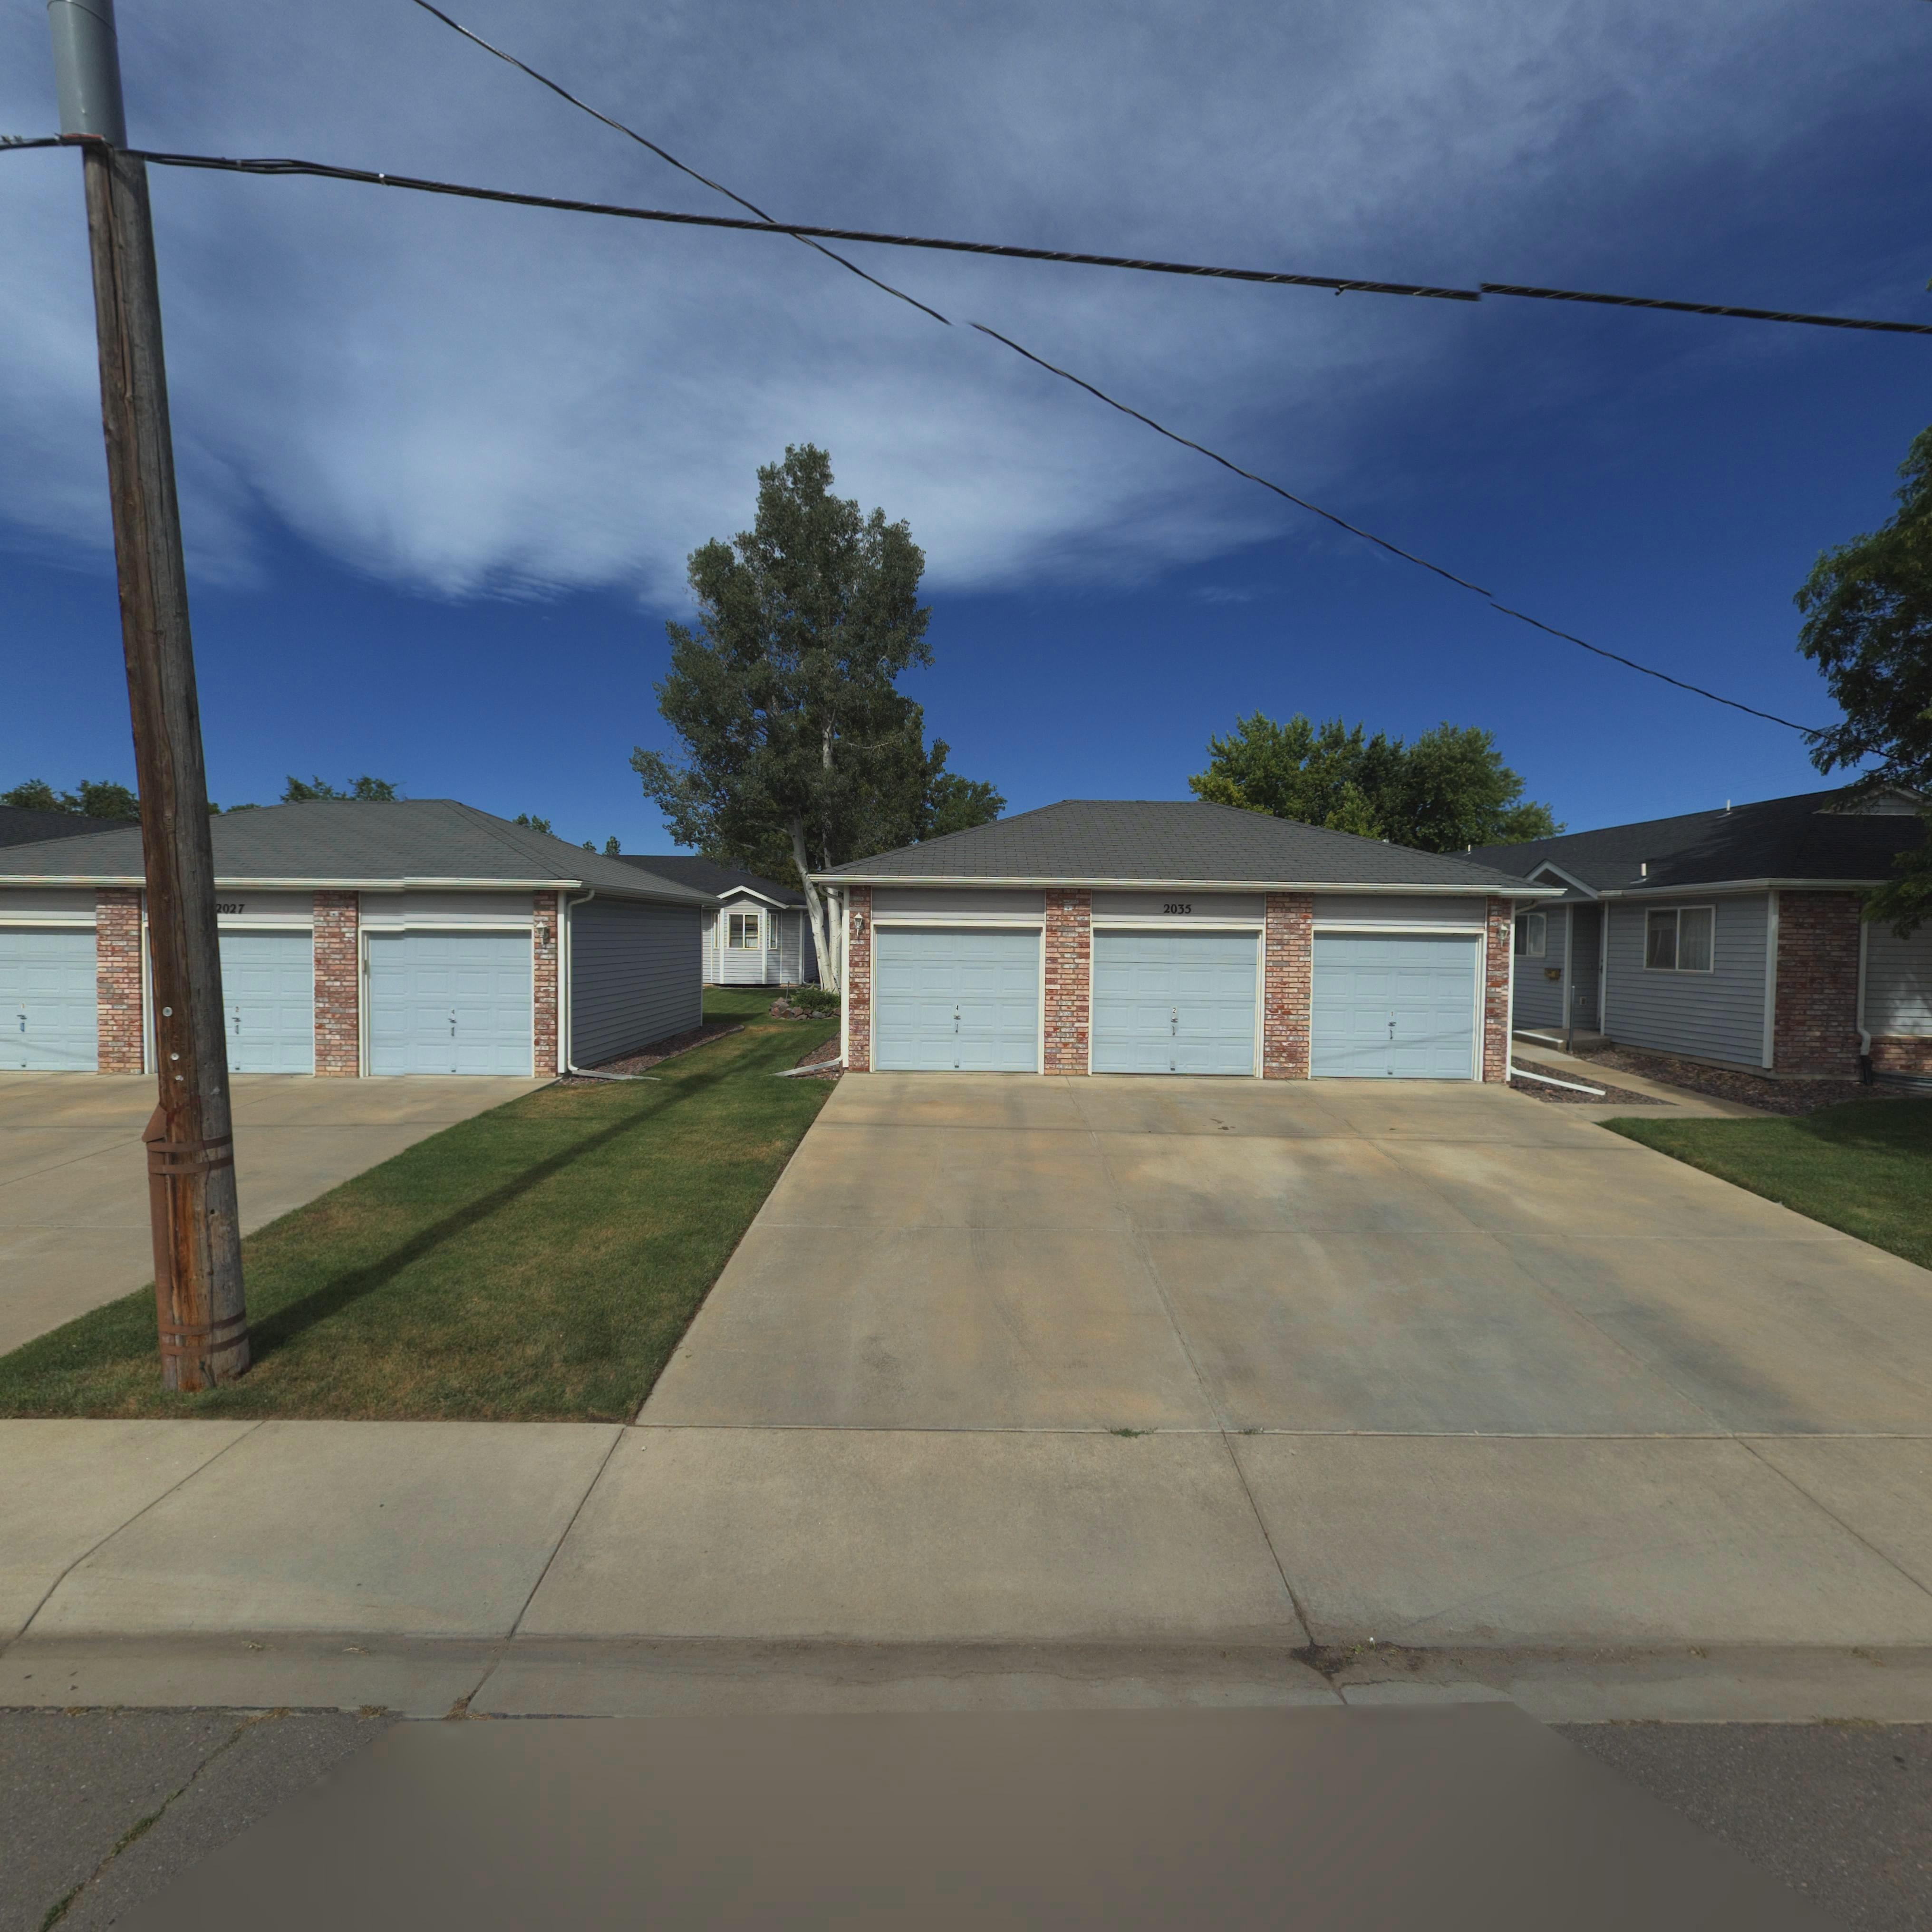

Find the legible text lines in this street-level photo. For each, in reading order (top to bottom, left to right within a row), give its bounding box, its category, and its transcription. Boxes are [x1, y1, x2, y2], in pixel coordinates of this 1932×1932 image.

[215, 903, 246, 914] StreetNumber: 2027
[1163, 903, 1191, 914] StreetNumber: 2035